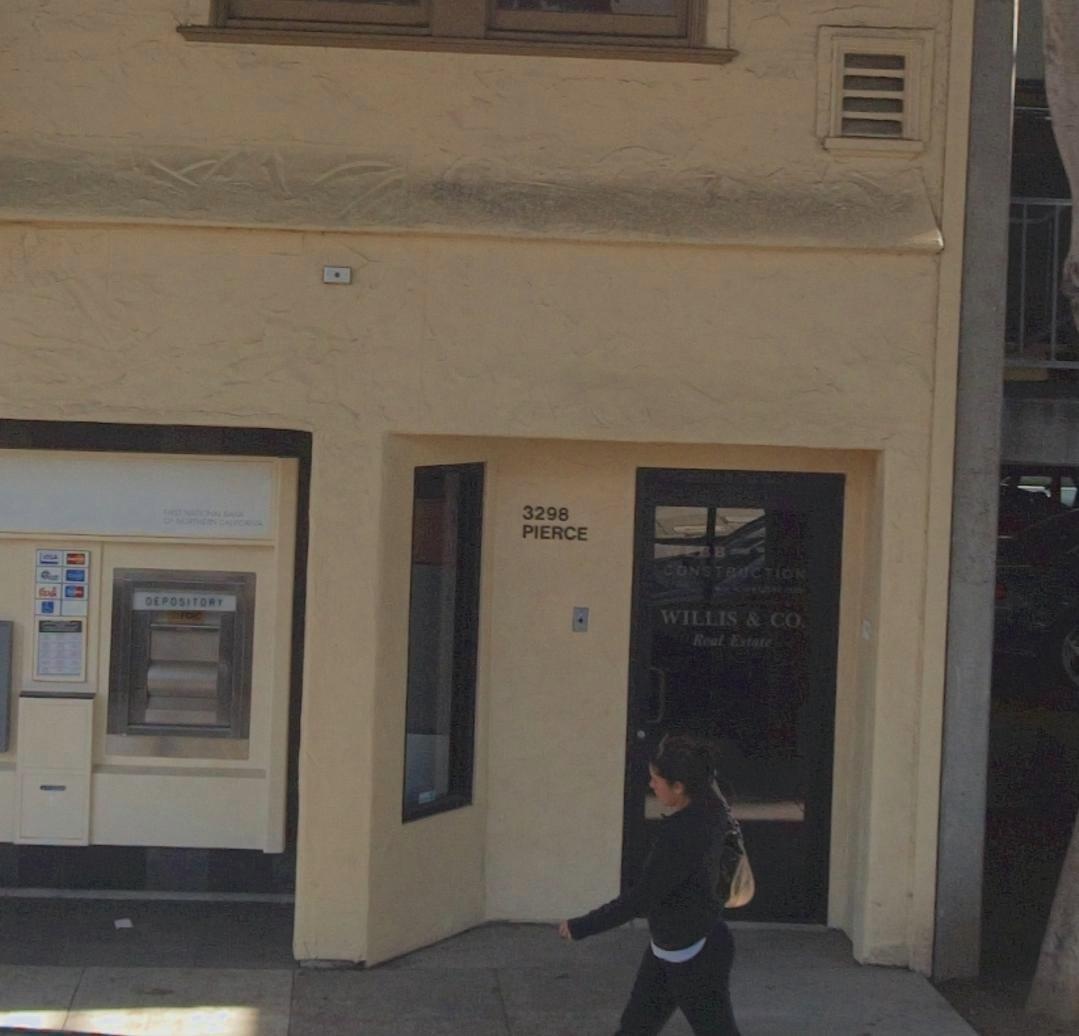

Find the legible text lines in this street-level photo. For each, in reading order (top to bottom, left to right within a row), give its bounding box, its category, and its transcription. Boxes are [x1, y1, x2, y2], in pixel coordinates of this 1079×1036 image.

[519, 502, 571, 524] StreetNumber: 3298
[520, 522, 590, 543] StreetName: PIERCE
[658, 541, 729, 561] BusinessName: WEBB
[659, 561, 808, 585] BusinessName: CONSTRUCTION
[143, 594, 227, 610] None: DEPOSITORY
[652, 605, 808, 632] BusinessName: WILLIS & CO.
[690, 630, 775, 650] BusinessName: Real Estate